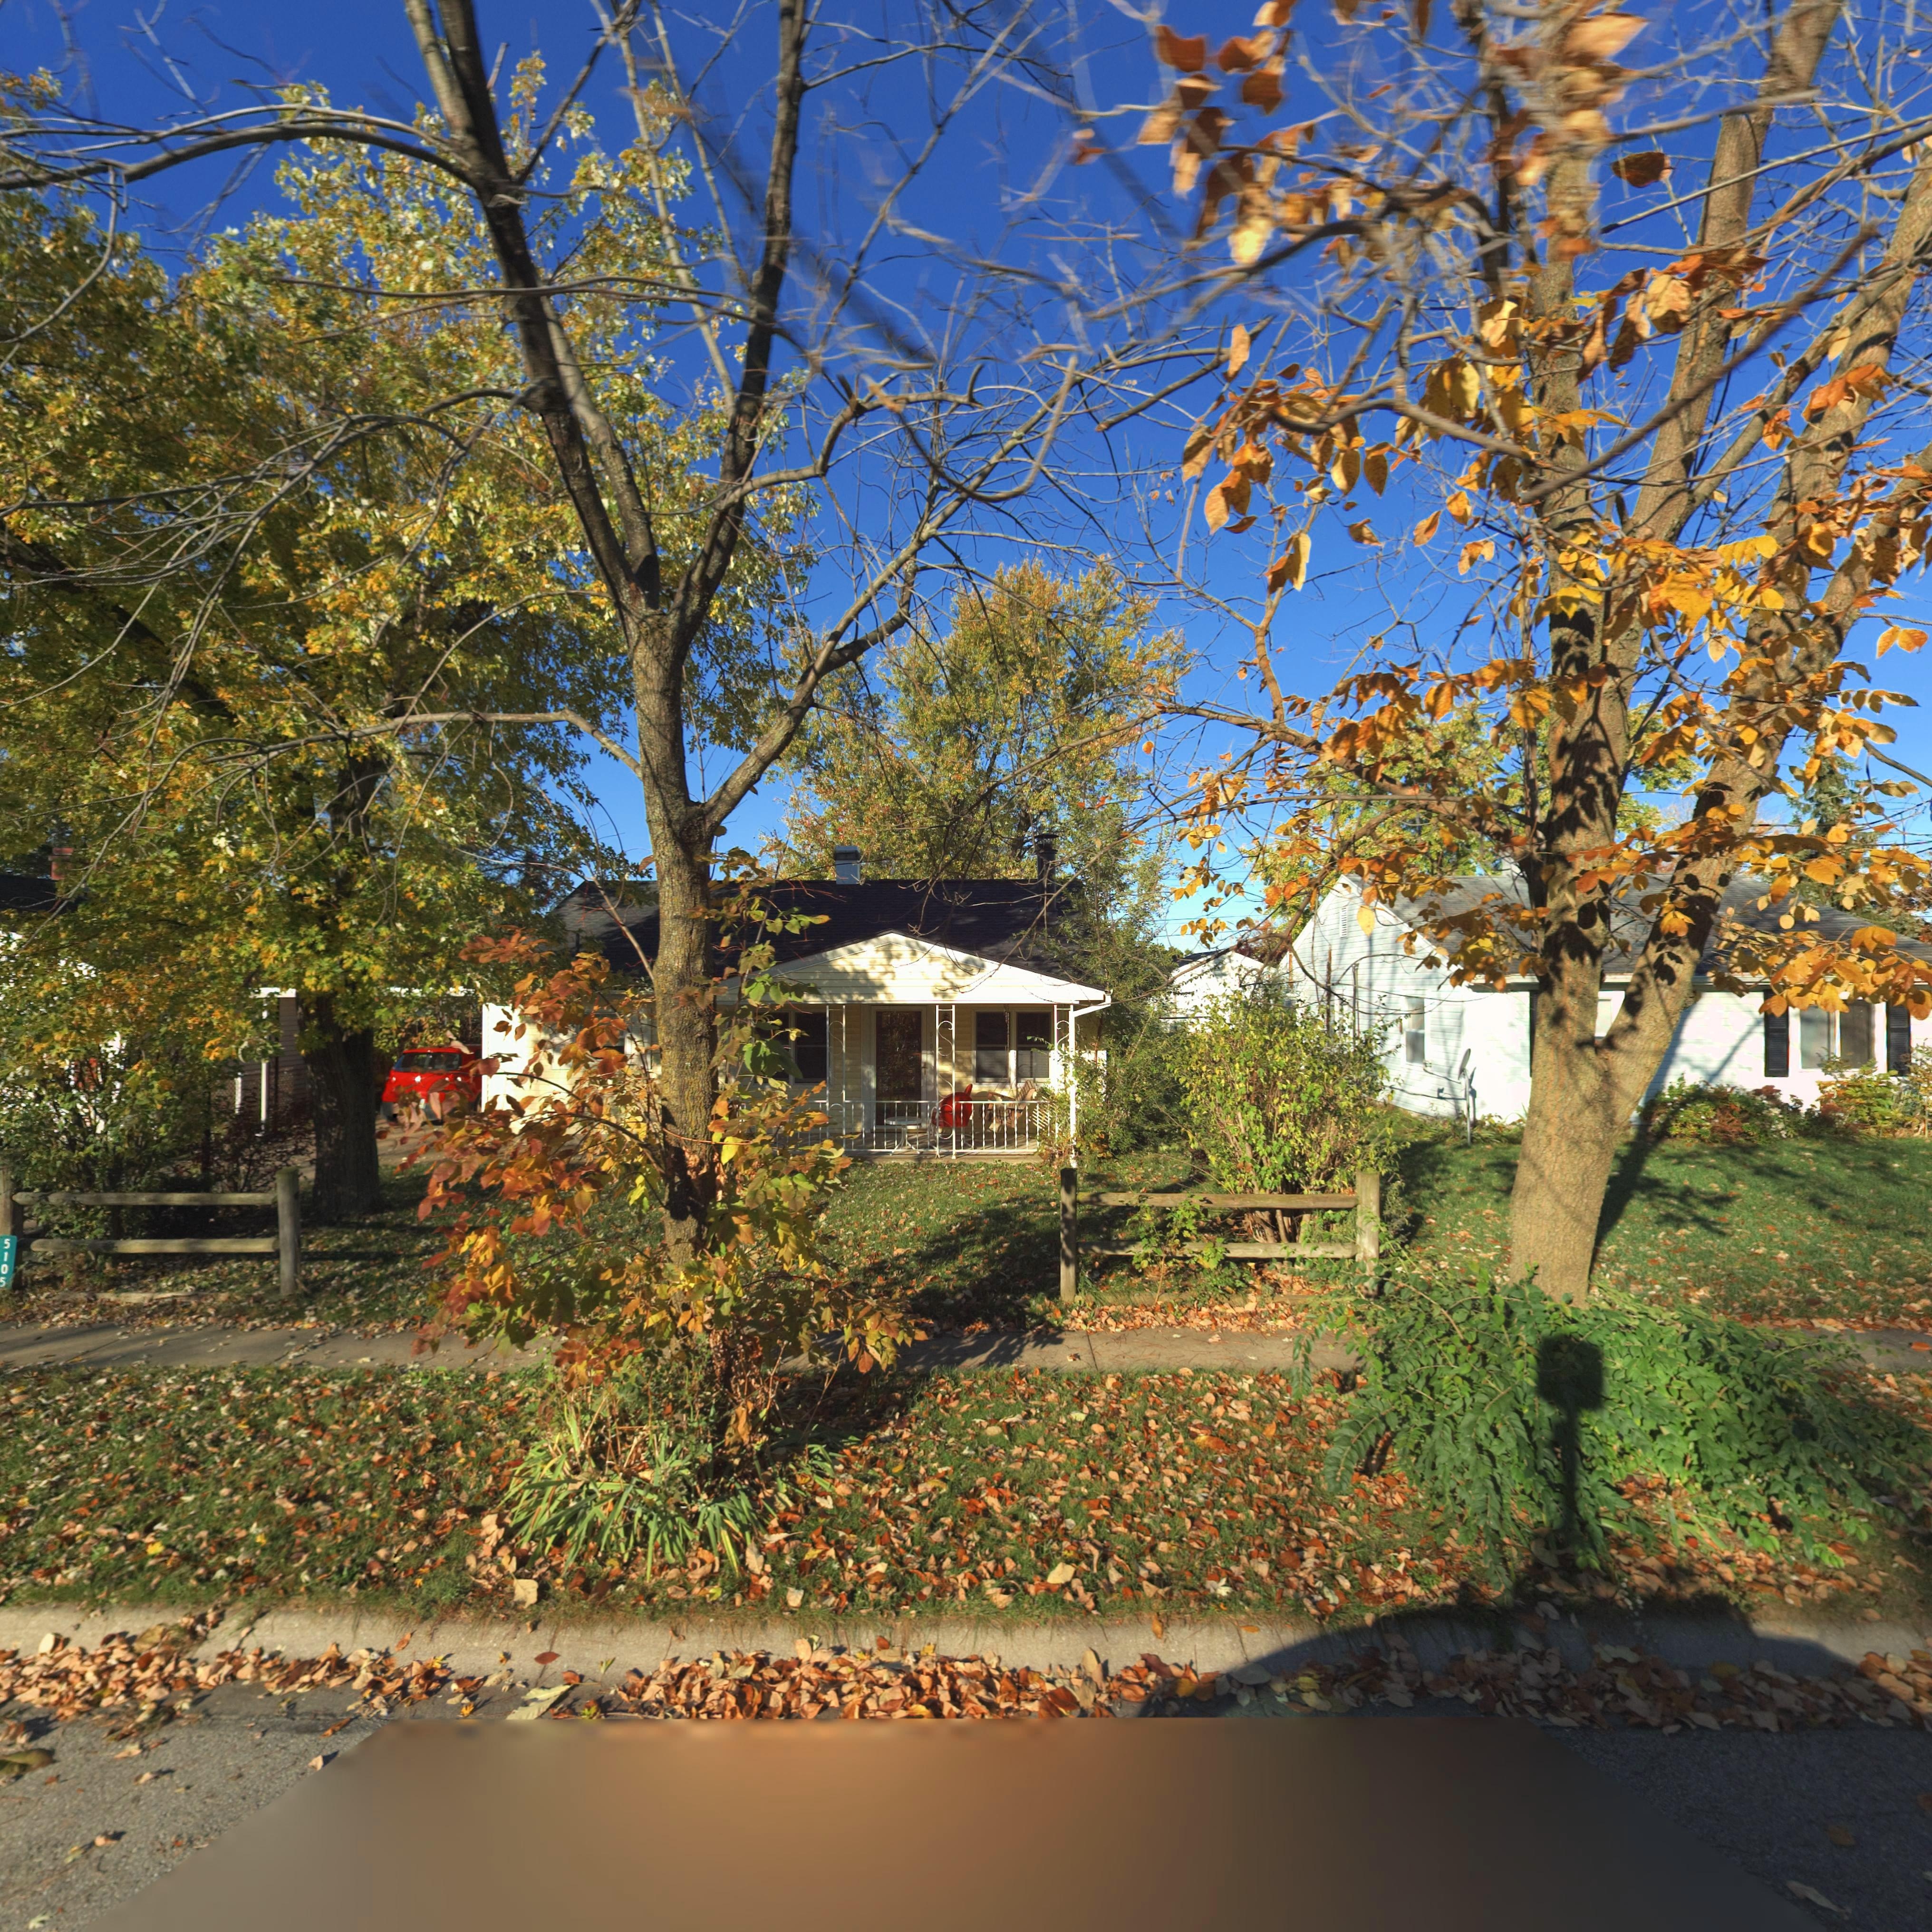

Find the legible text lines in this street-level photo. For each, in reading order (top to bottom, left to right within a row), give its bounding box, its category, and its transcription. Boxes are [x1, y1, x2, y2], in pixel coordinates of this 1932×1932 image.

[929, 1032, 933, 1055] StreetNumber: 5105